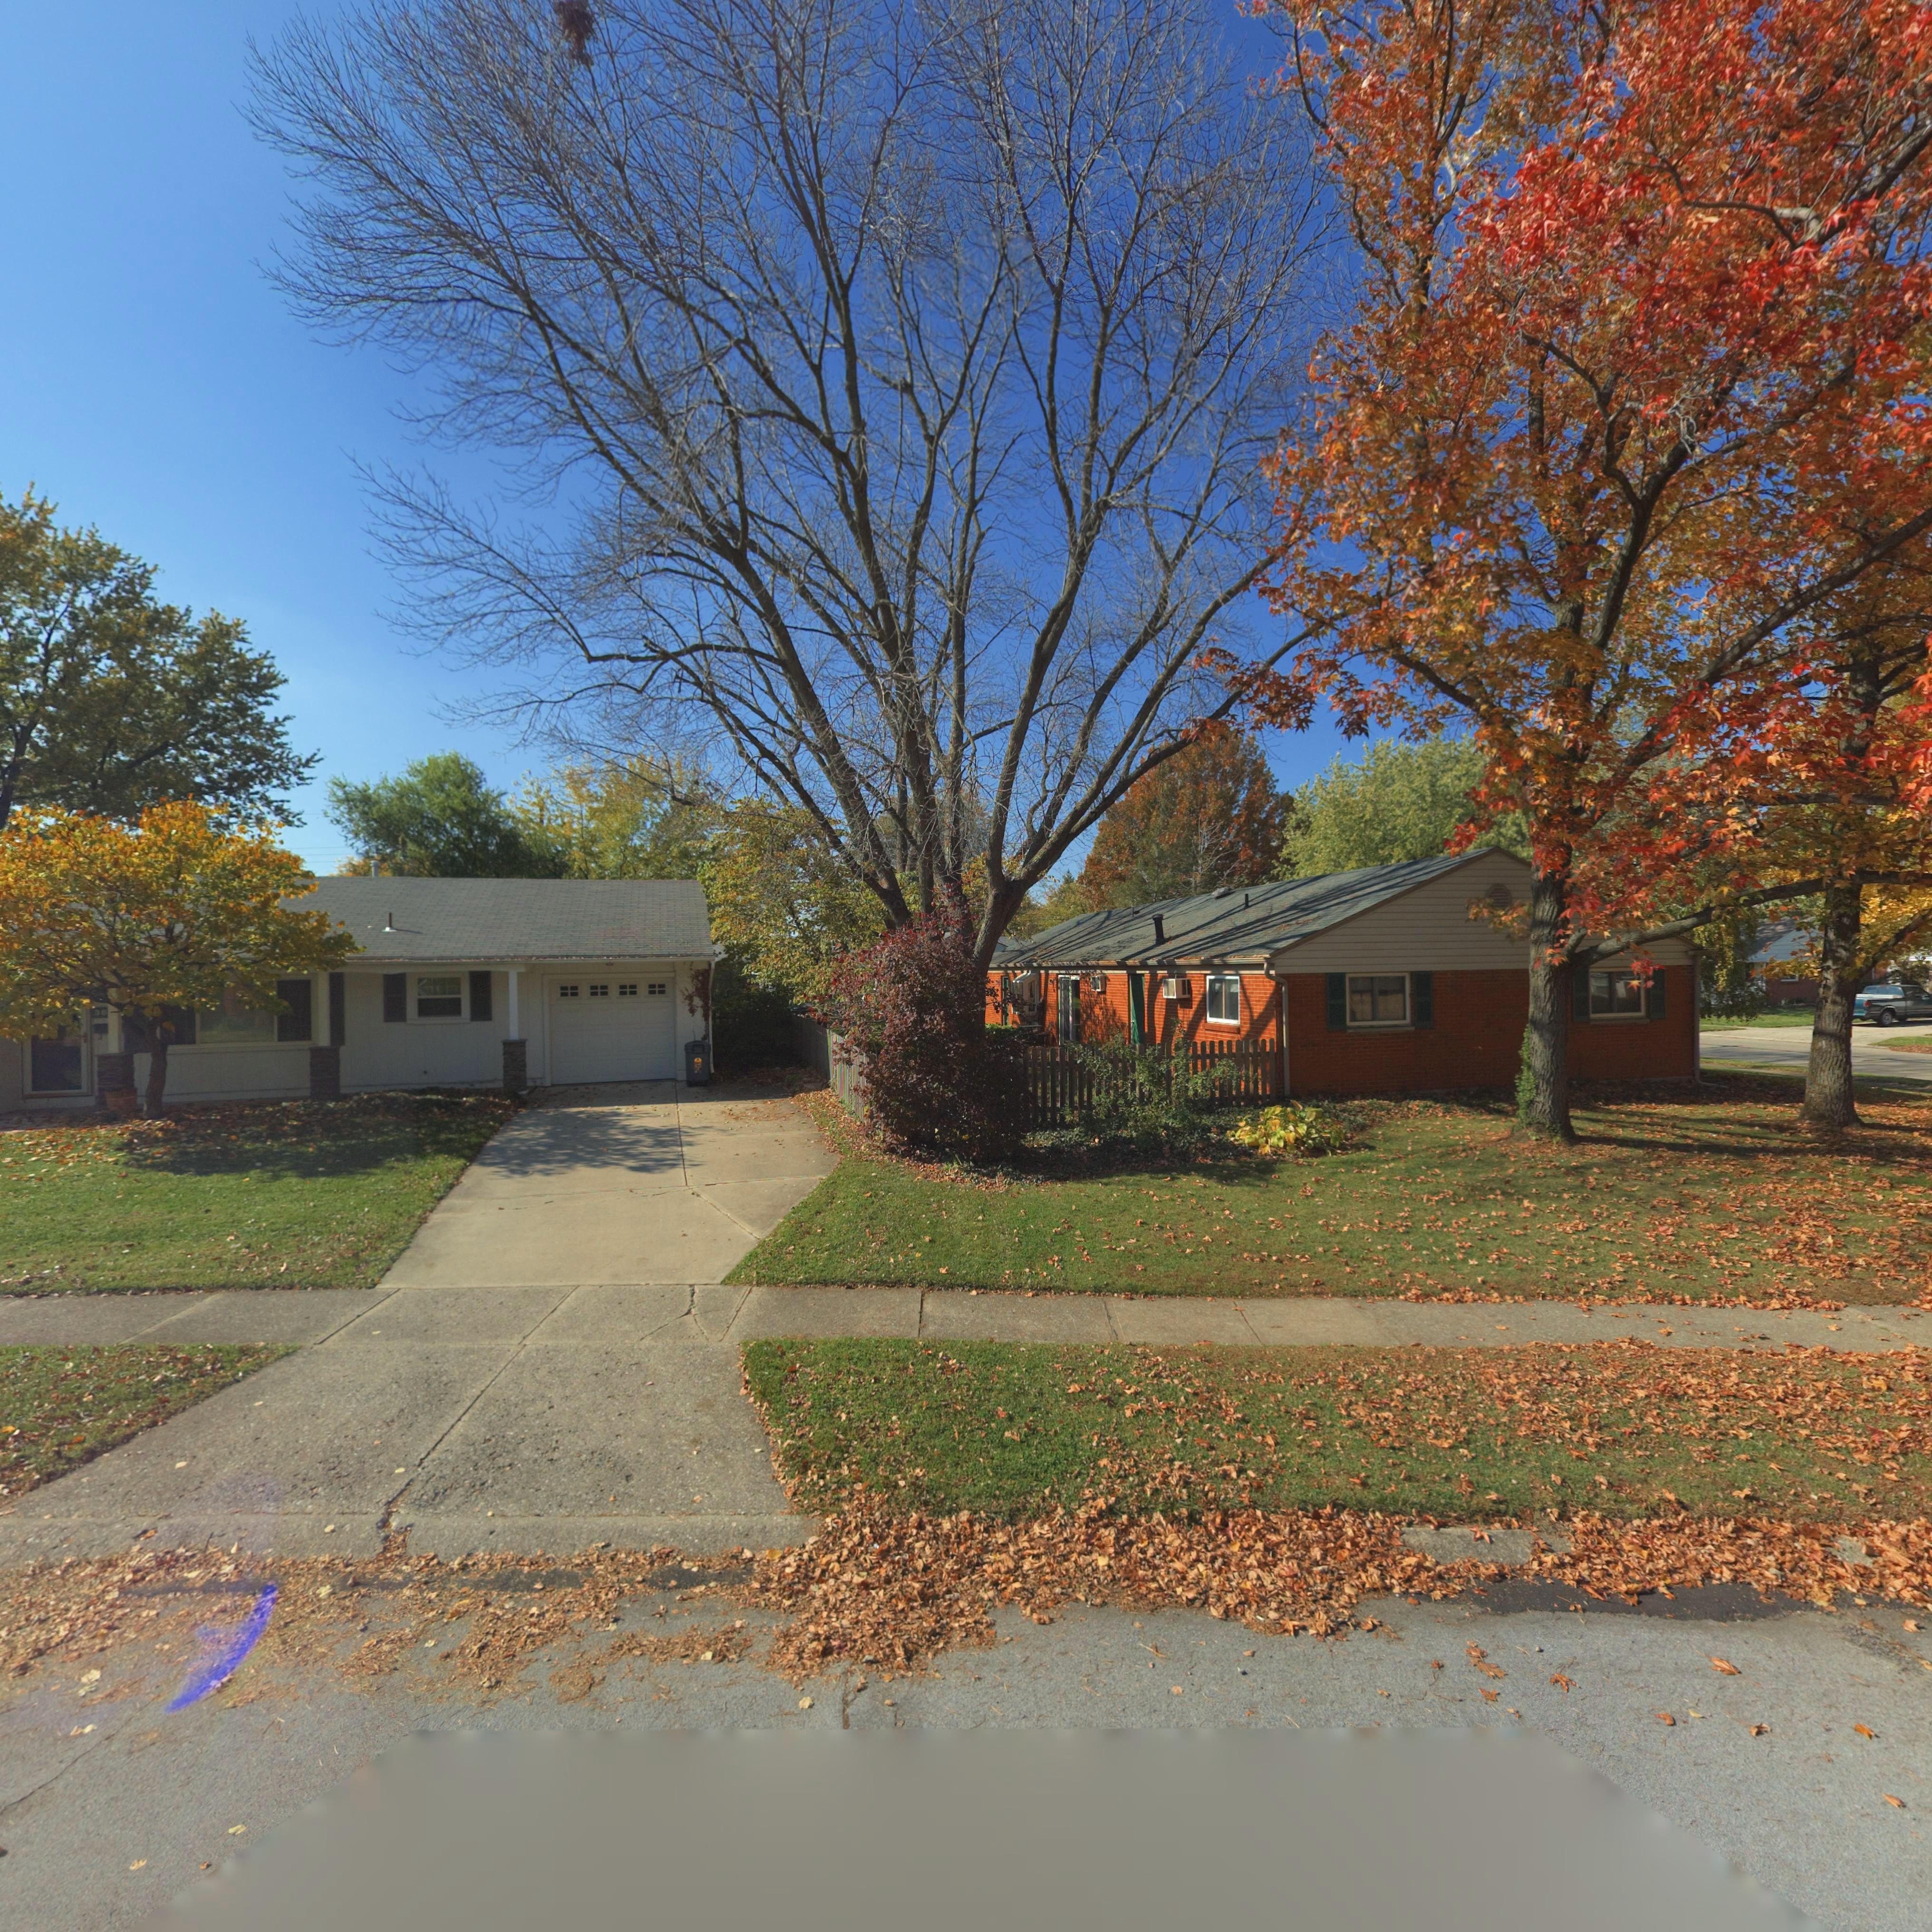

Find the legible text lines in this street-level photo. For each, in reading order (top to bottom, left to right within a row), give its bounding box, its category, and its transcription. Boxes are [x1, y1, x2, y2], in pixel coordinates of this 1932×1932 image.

[94, 1008, 107, 1016] StreetNumber: 36